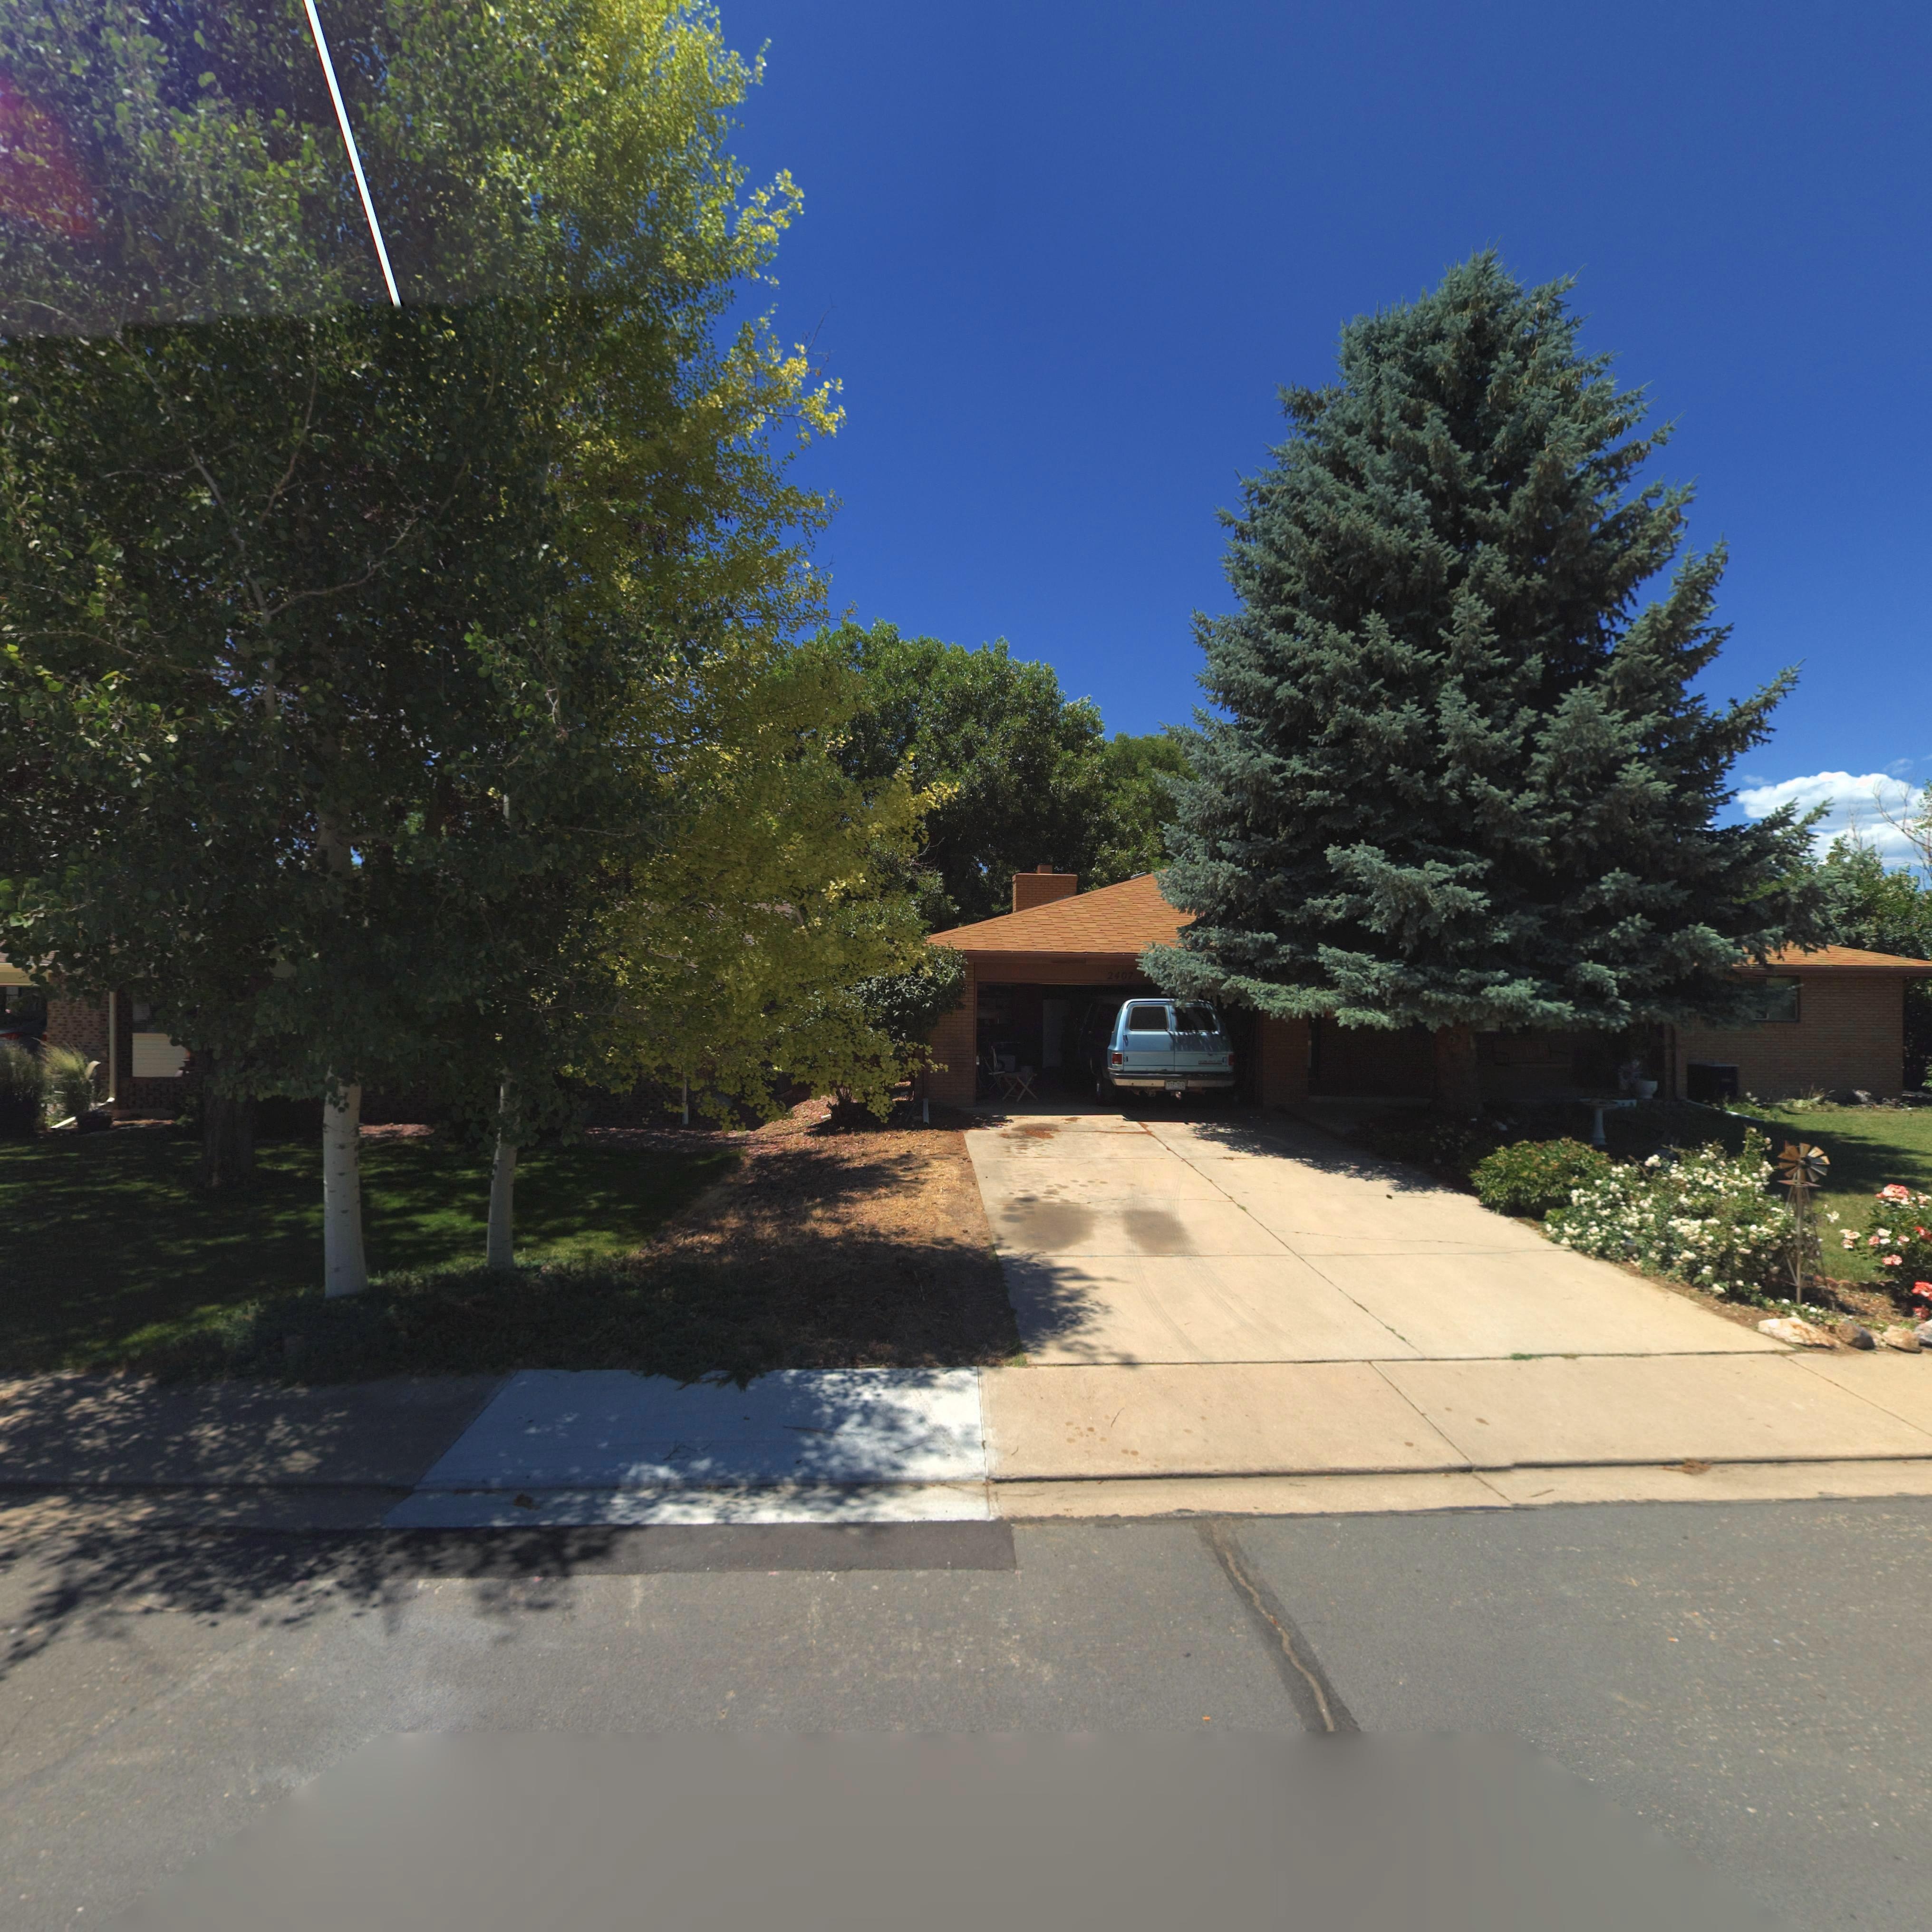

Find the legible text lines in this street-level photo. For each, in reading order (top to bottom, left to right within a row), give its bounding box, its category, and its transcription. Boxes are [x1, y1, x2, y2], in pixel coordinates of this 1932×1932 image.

[1107, 971, 1134, 980] StreetNumber: 2407